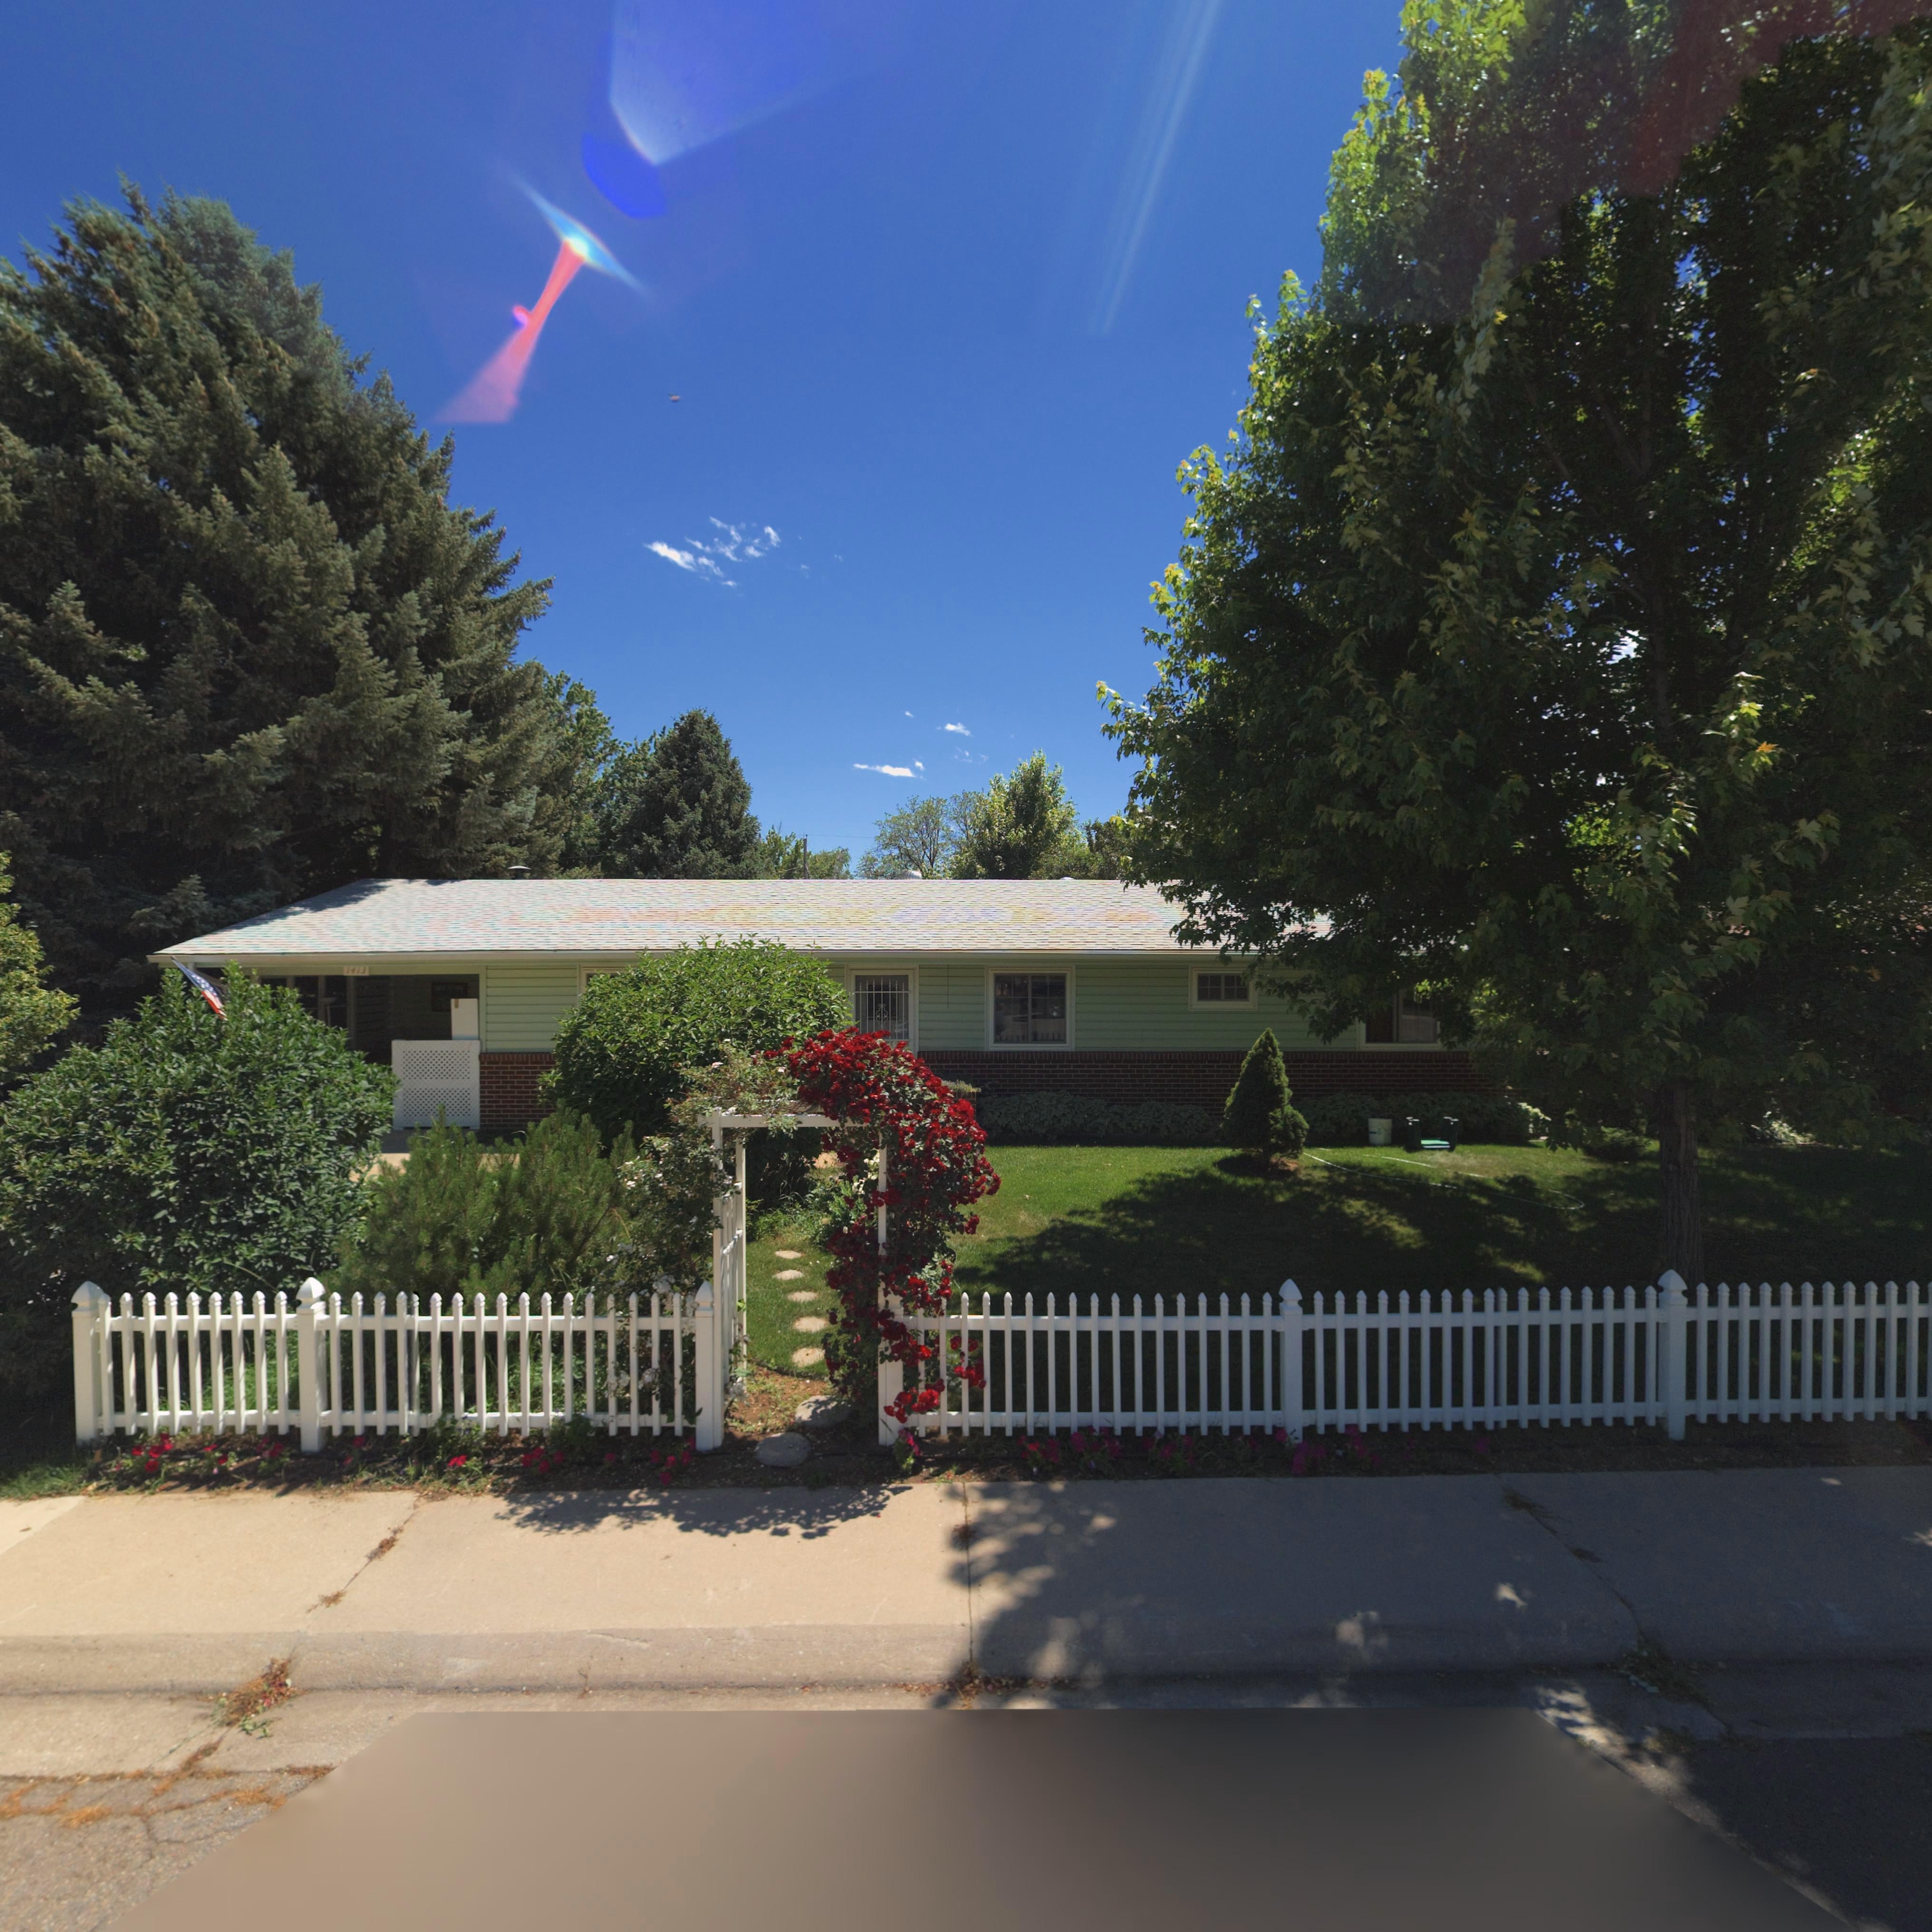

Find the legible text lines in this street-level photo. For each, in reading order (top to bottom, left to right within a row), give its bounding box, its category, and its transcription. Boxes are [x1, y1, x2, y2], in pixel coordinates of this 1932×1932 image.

[342, 965, 368, 976] StreetNumber: 1413